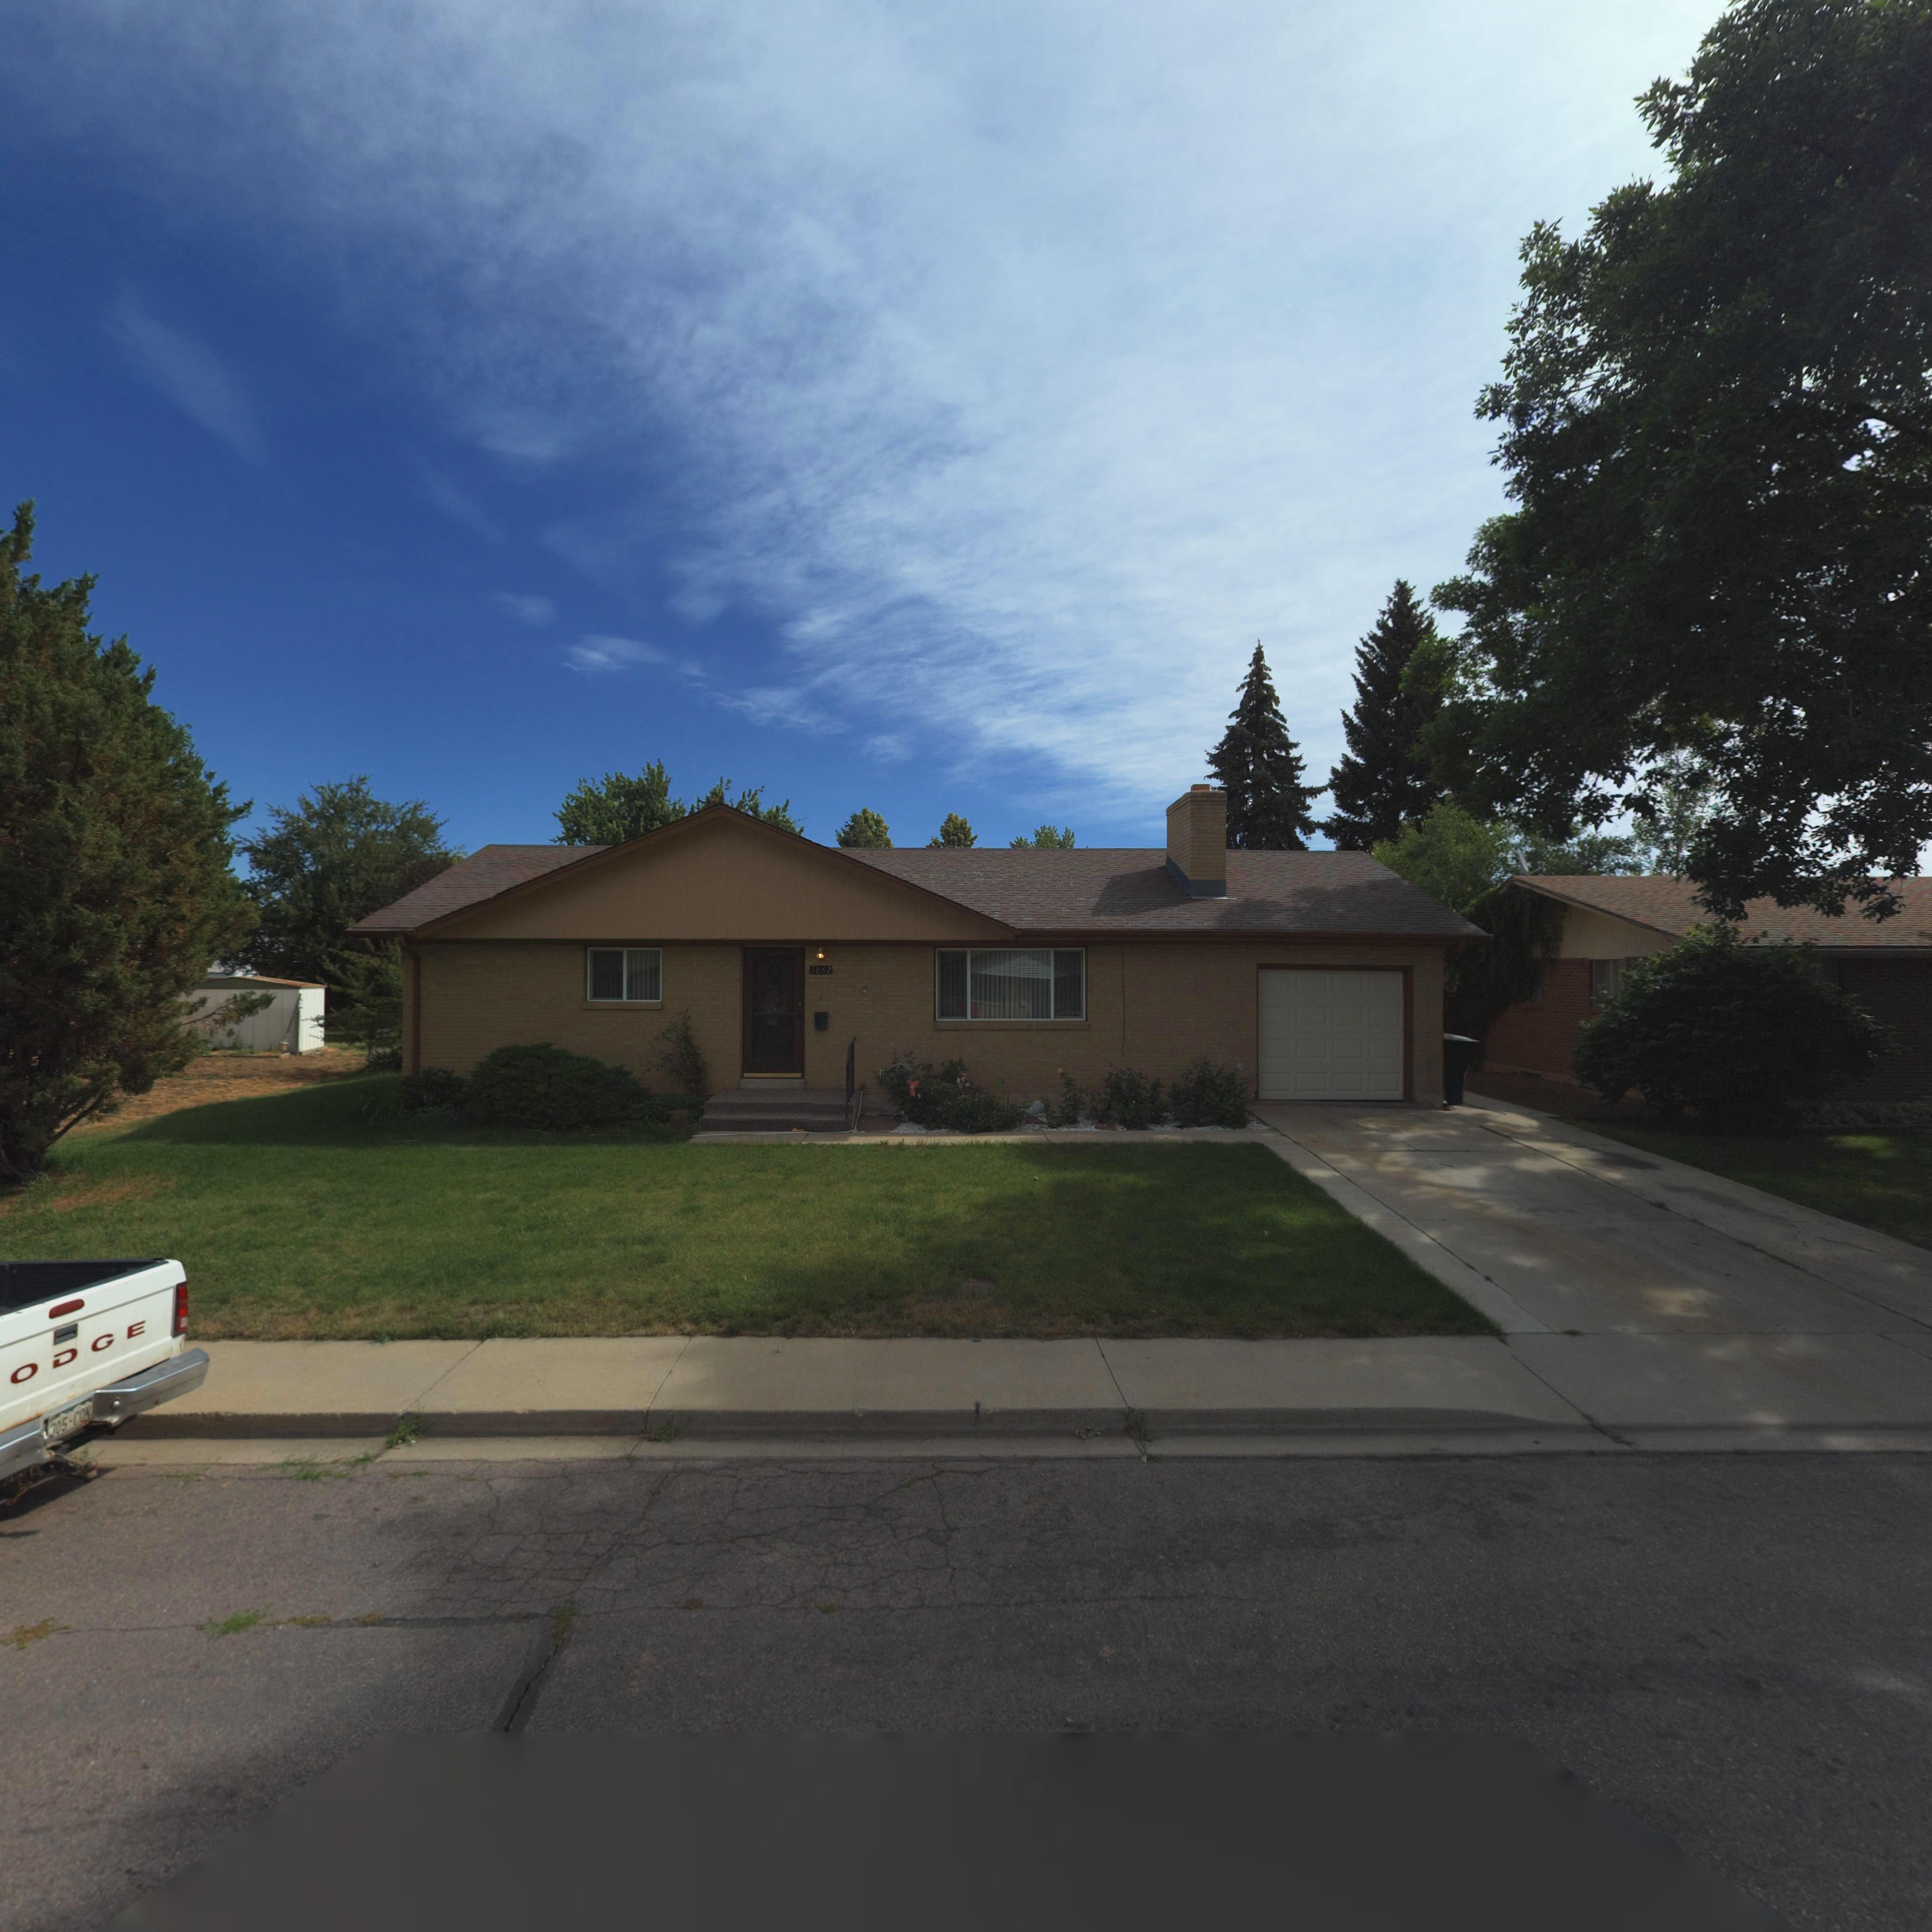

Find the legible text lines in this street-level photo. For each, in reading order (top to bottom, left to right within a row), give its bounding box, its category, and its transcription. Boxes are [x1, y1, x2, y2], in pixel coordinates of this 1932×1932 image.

[811, 966, 831, 974] StreetNumber: 1862